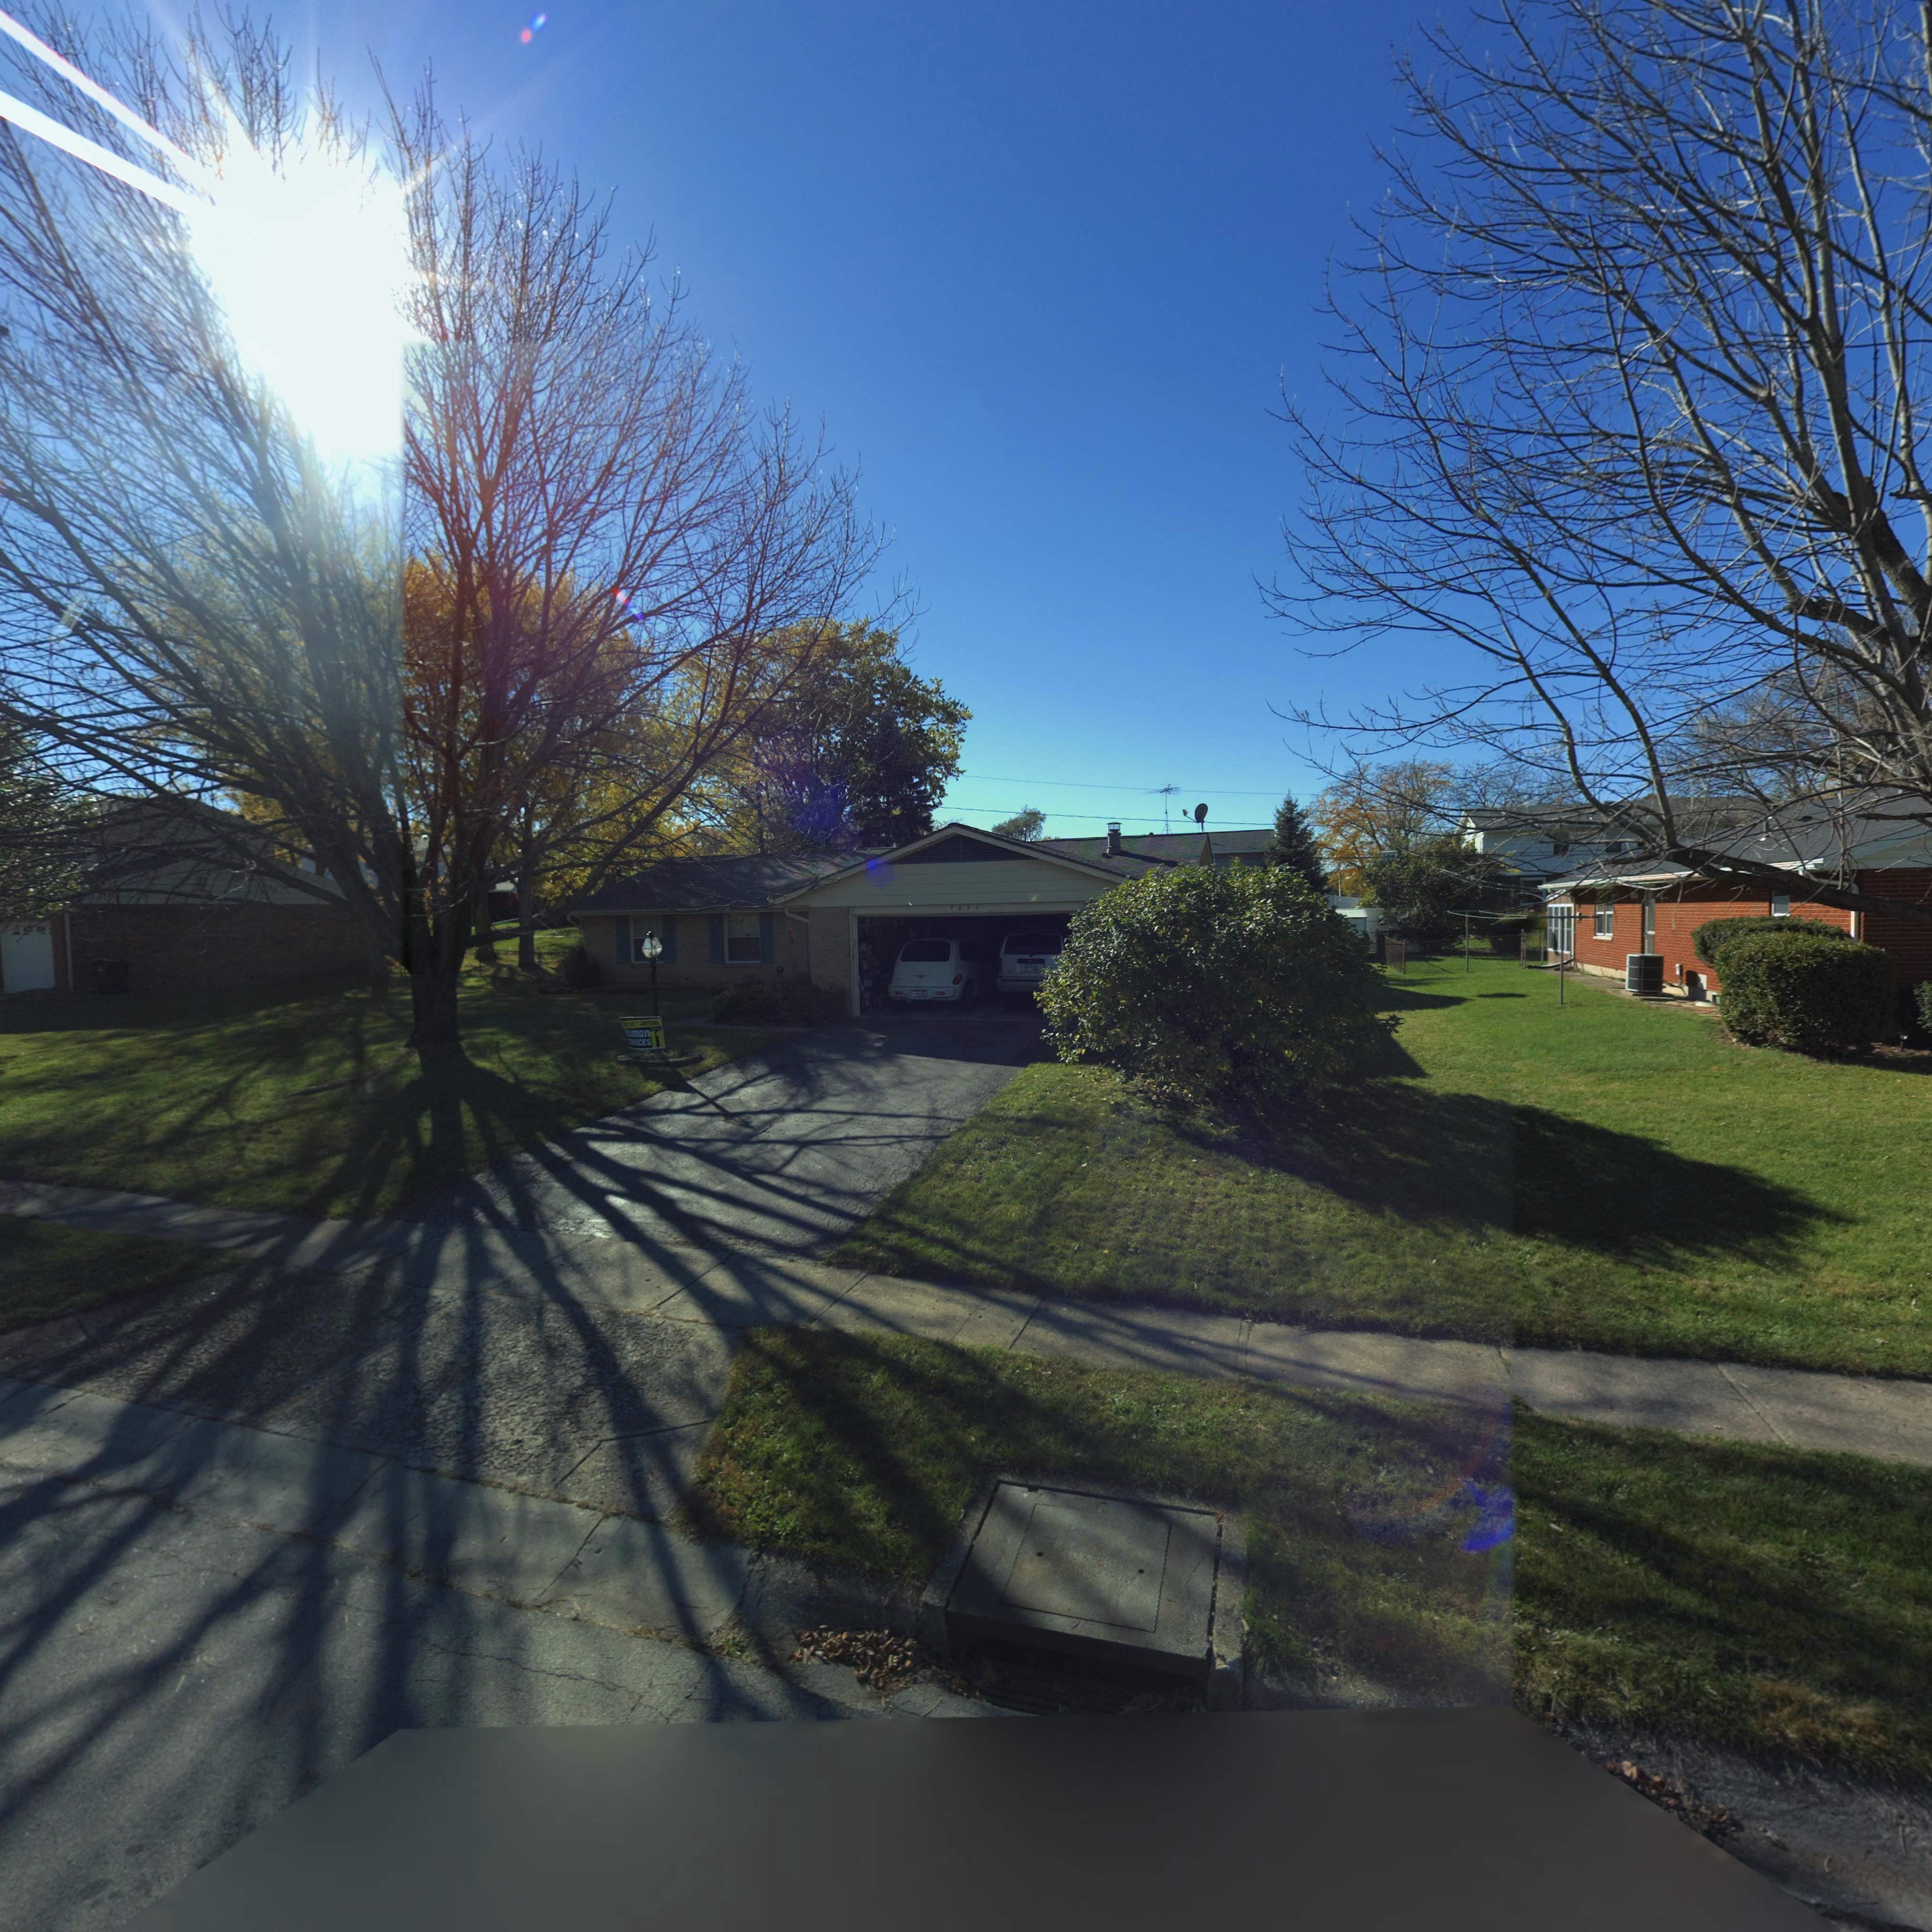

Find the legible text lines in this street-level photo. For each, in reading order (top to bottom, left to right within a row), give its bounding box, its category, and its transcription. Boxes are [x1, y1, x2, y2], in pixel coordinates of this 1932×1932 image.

[949, 904, 979, 911] StreetNumber: 70*1
[639, 1020, 660, 1026] None: CRITICAL
[627, 1029, 651, 1038] None: uman
[636, 1038, 652, 1046] None: ICES
[648, 1029, 666, 1049] None: 11